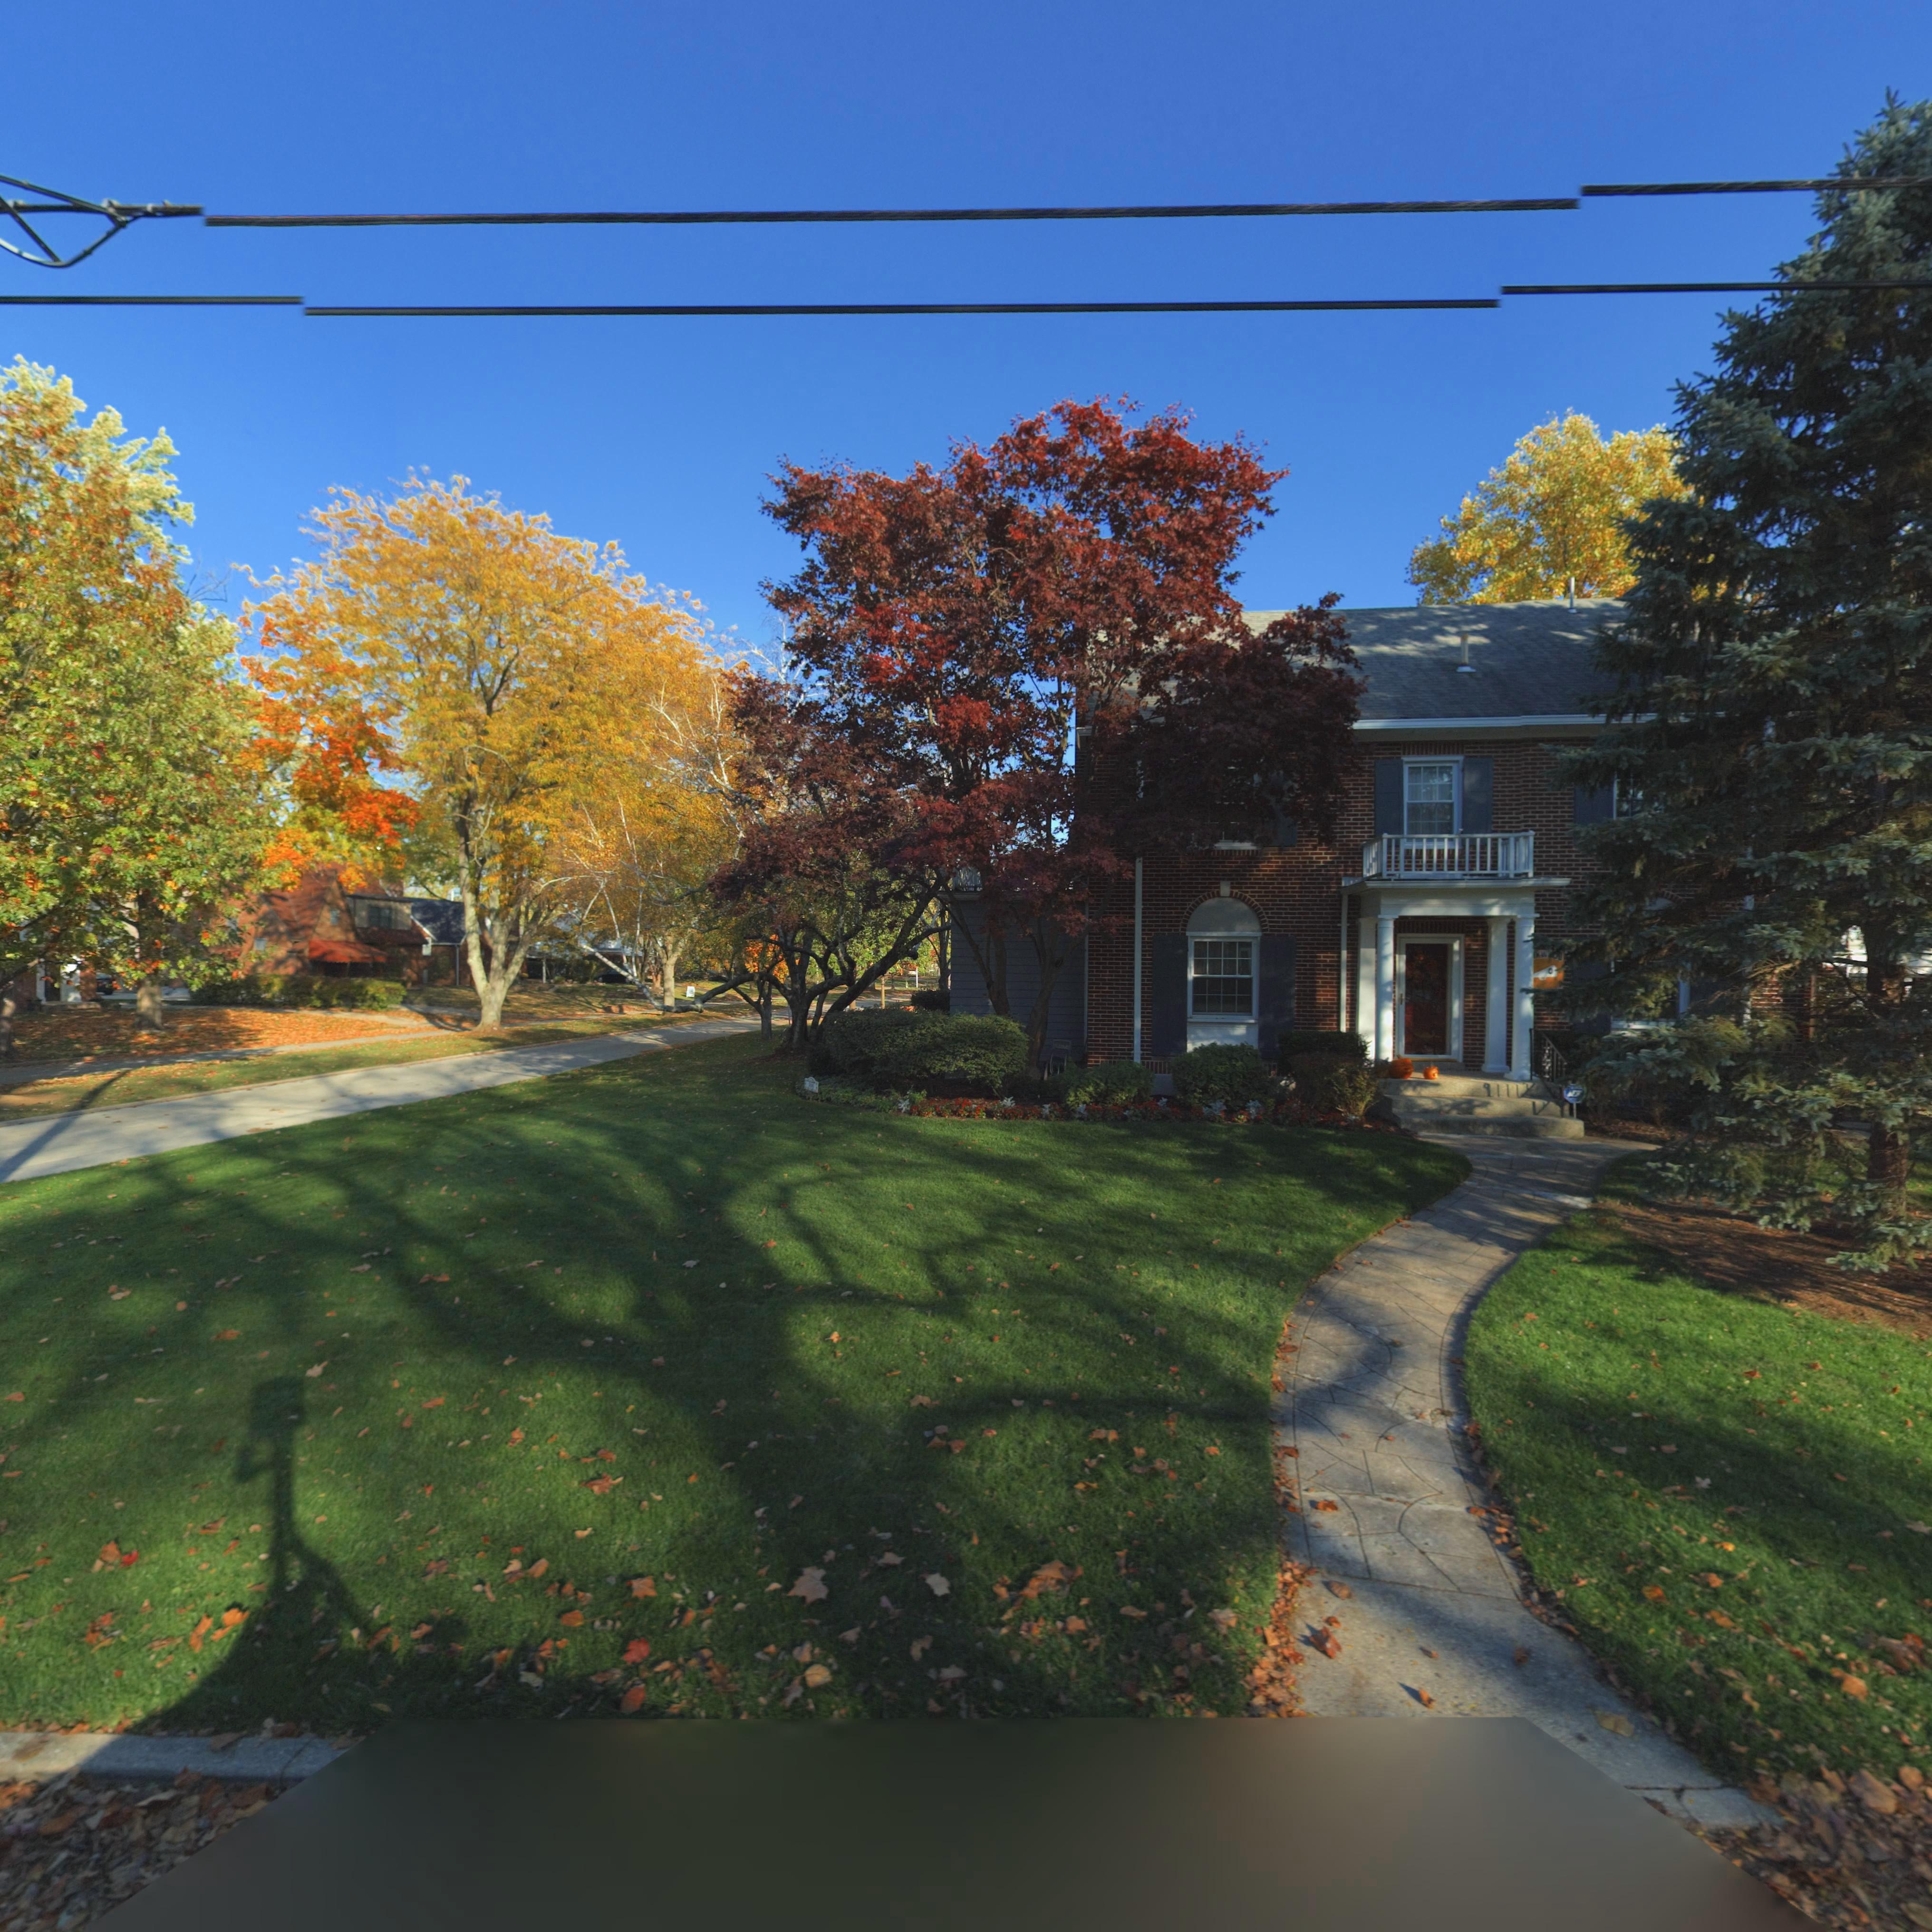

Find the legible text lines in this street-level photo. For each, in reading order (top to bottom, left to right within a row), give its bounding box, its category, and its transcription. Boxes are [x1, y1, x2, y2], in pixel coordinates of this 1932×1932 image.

[808, 1082, 815, 1090] StreetNumber: *00